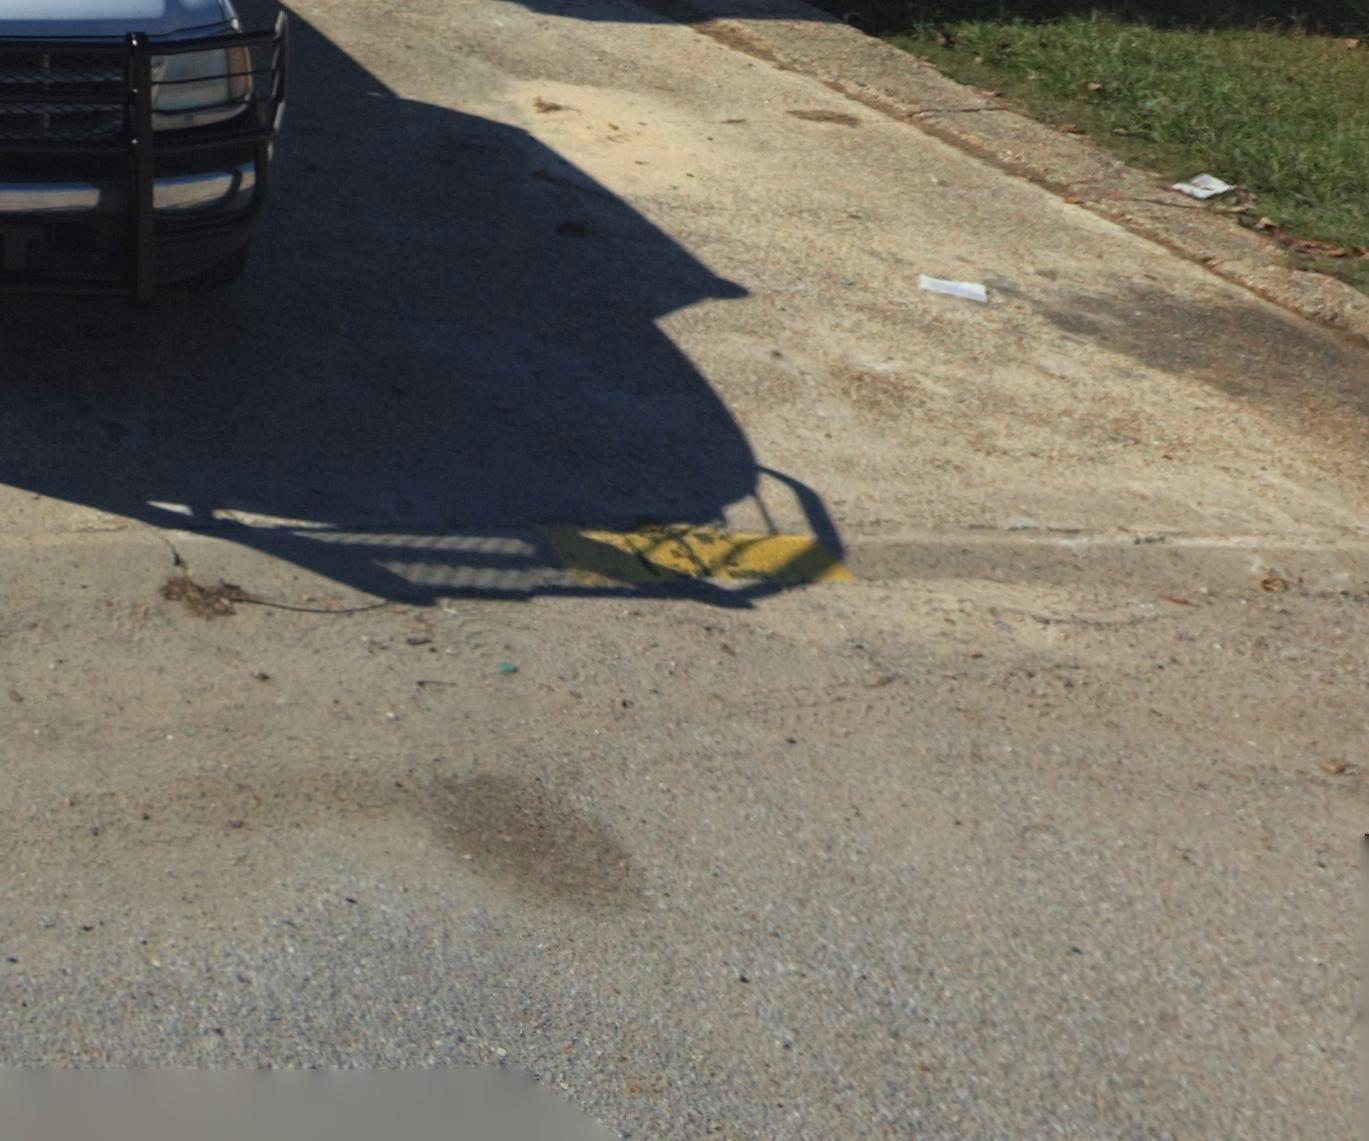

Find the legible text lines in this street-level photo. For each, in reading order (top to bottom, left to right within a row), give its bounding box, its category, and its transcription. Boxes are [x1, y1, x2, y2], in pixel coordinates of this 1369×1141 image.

[608, 528, 776, 582] StreetNumber: 132